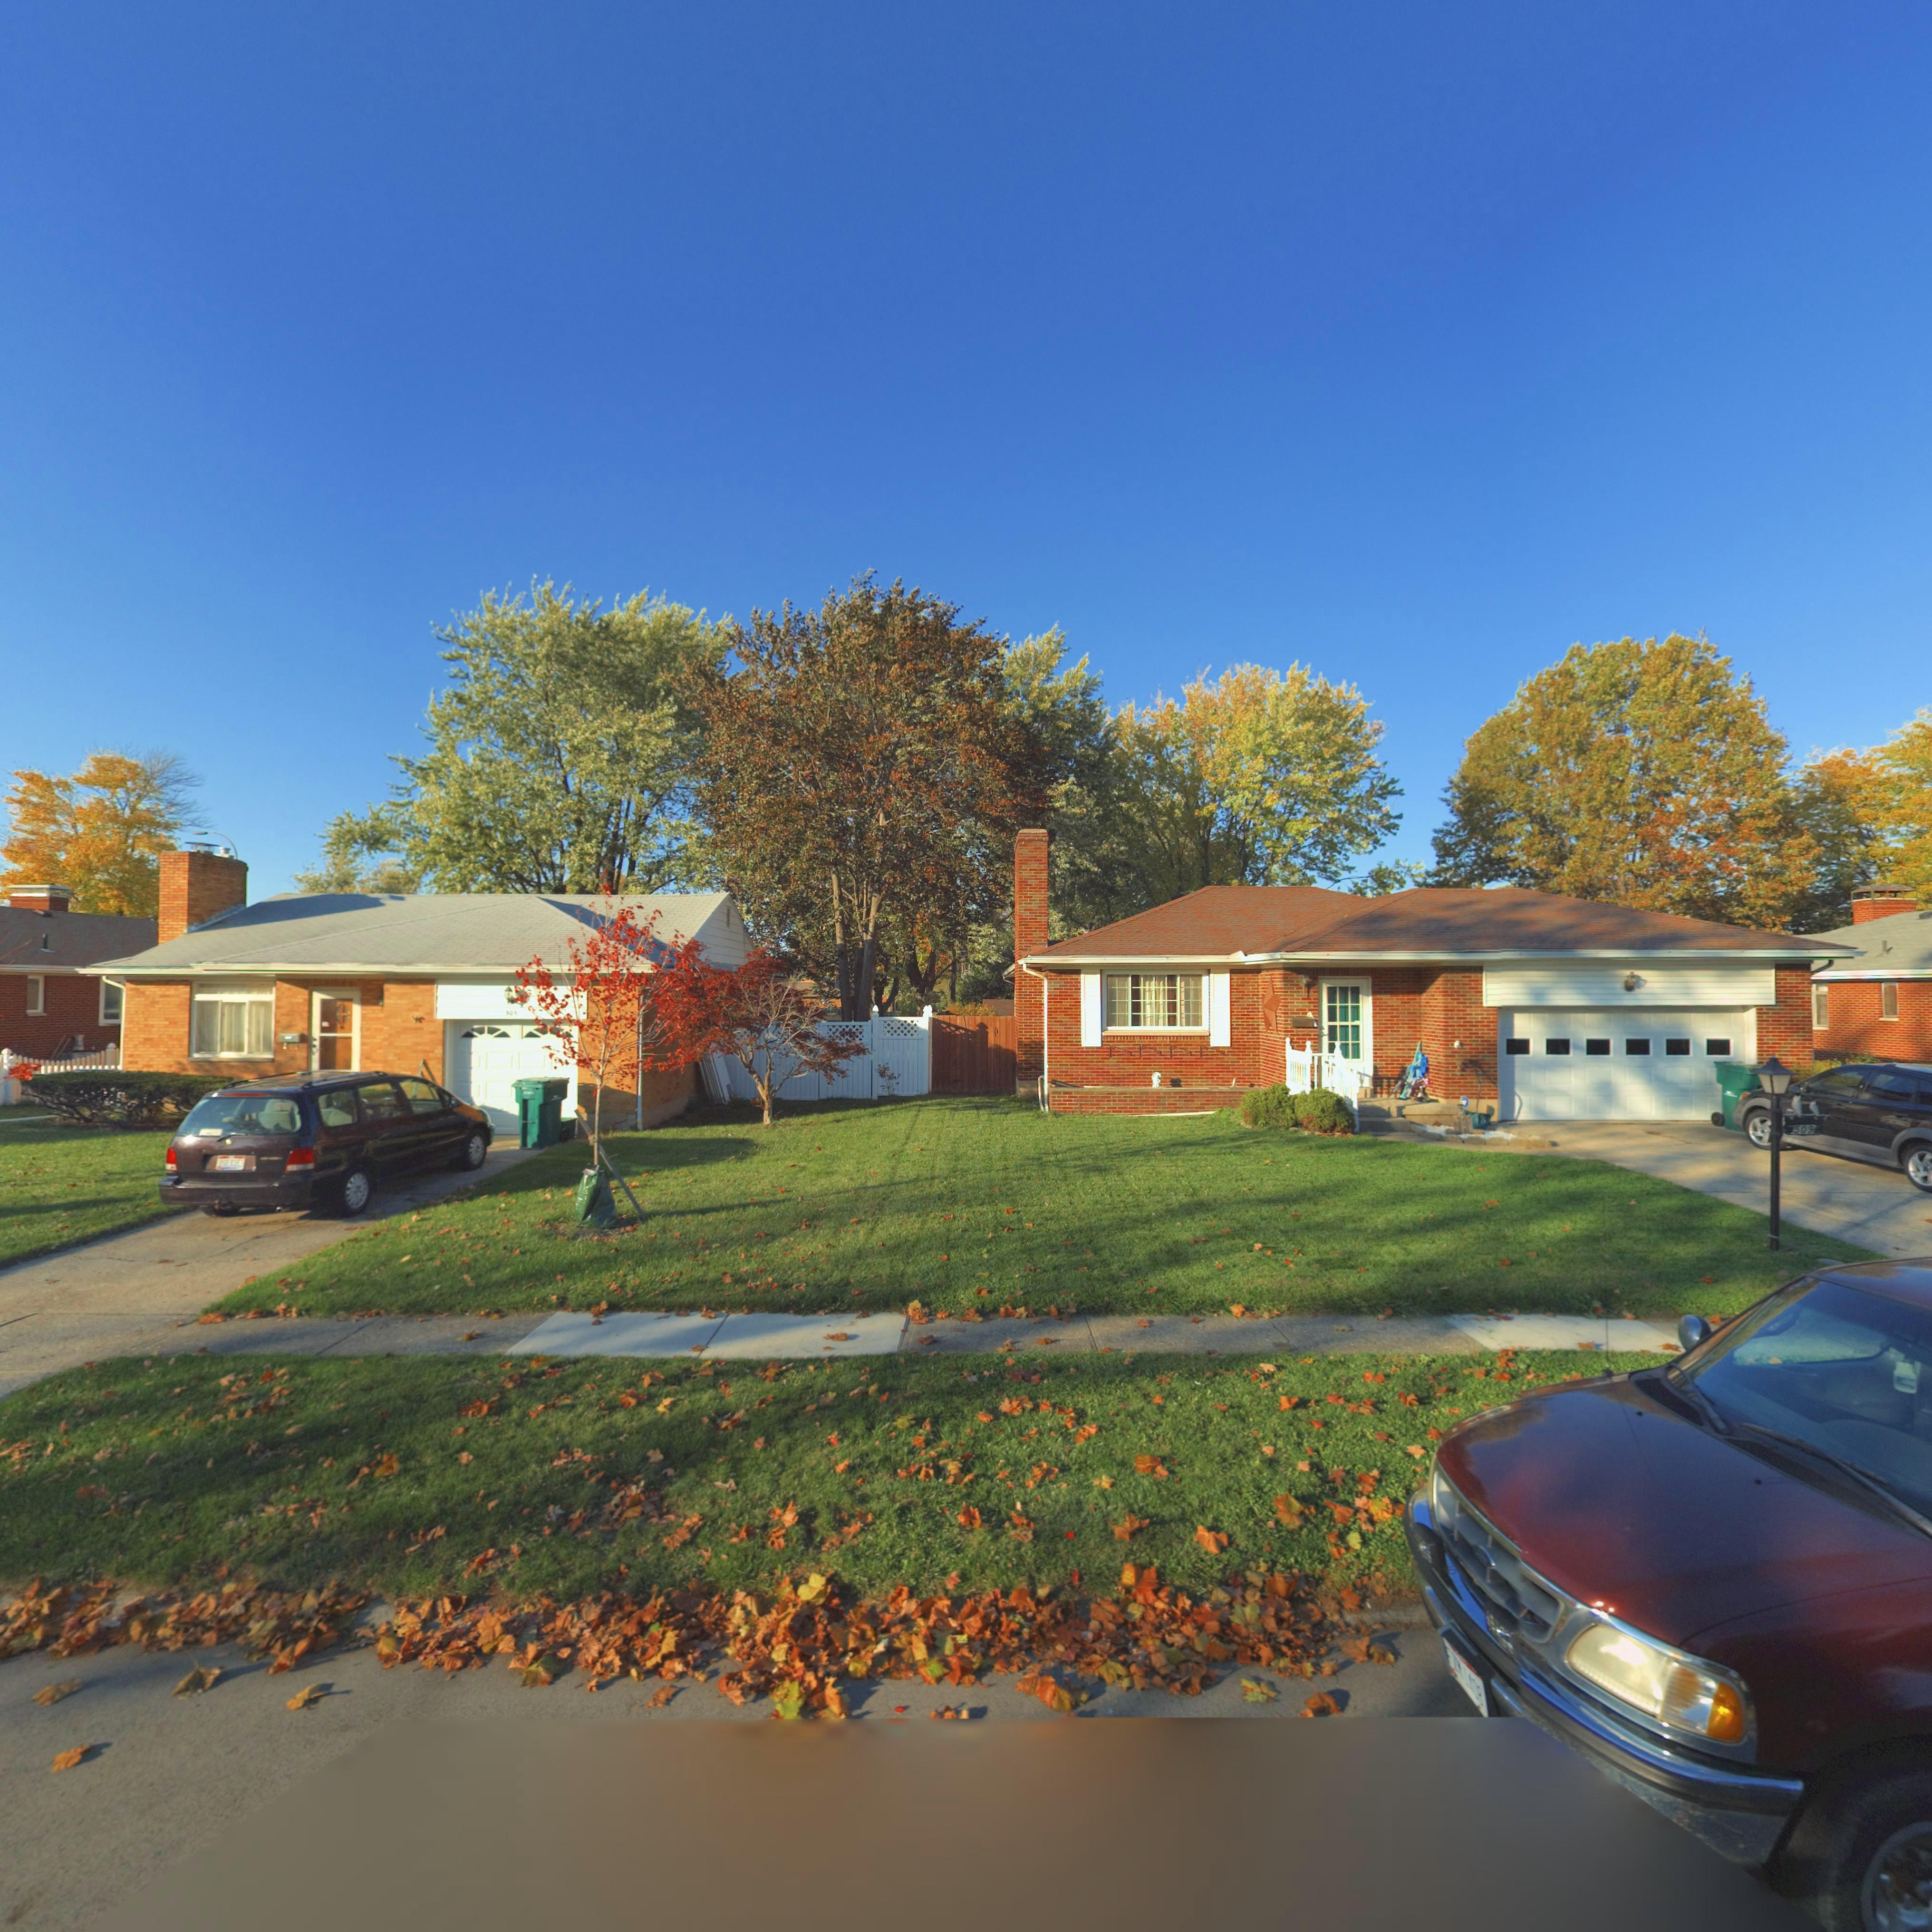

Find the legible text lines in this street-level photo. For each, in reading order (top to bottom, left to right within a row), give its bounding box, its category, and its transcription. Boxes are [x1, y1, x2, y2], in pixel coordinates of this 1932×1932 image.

[505, 1010, 518, 1016] StreetNumber: 505
[1793, 1124, 1815, 1134] StreetNumber: 509